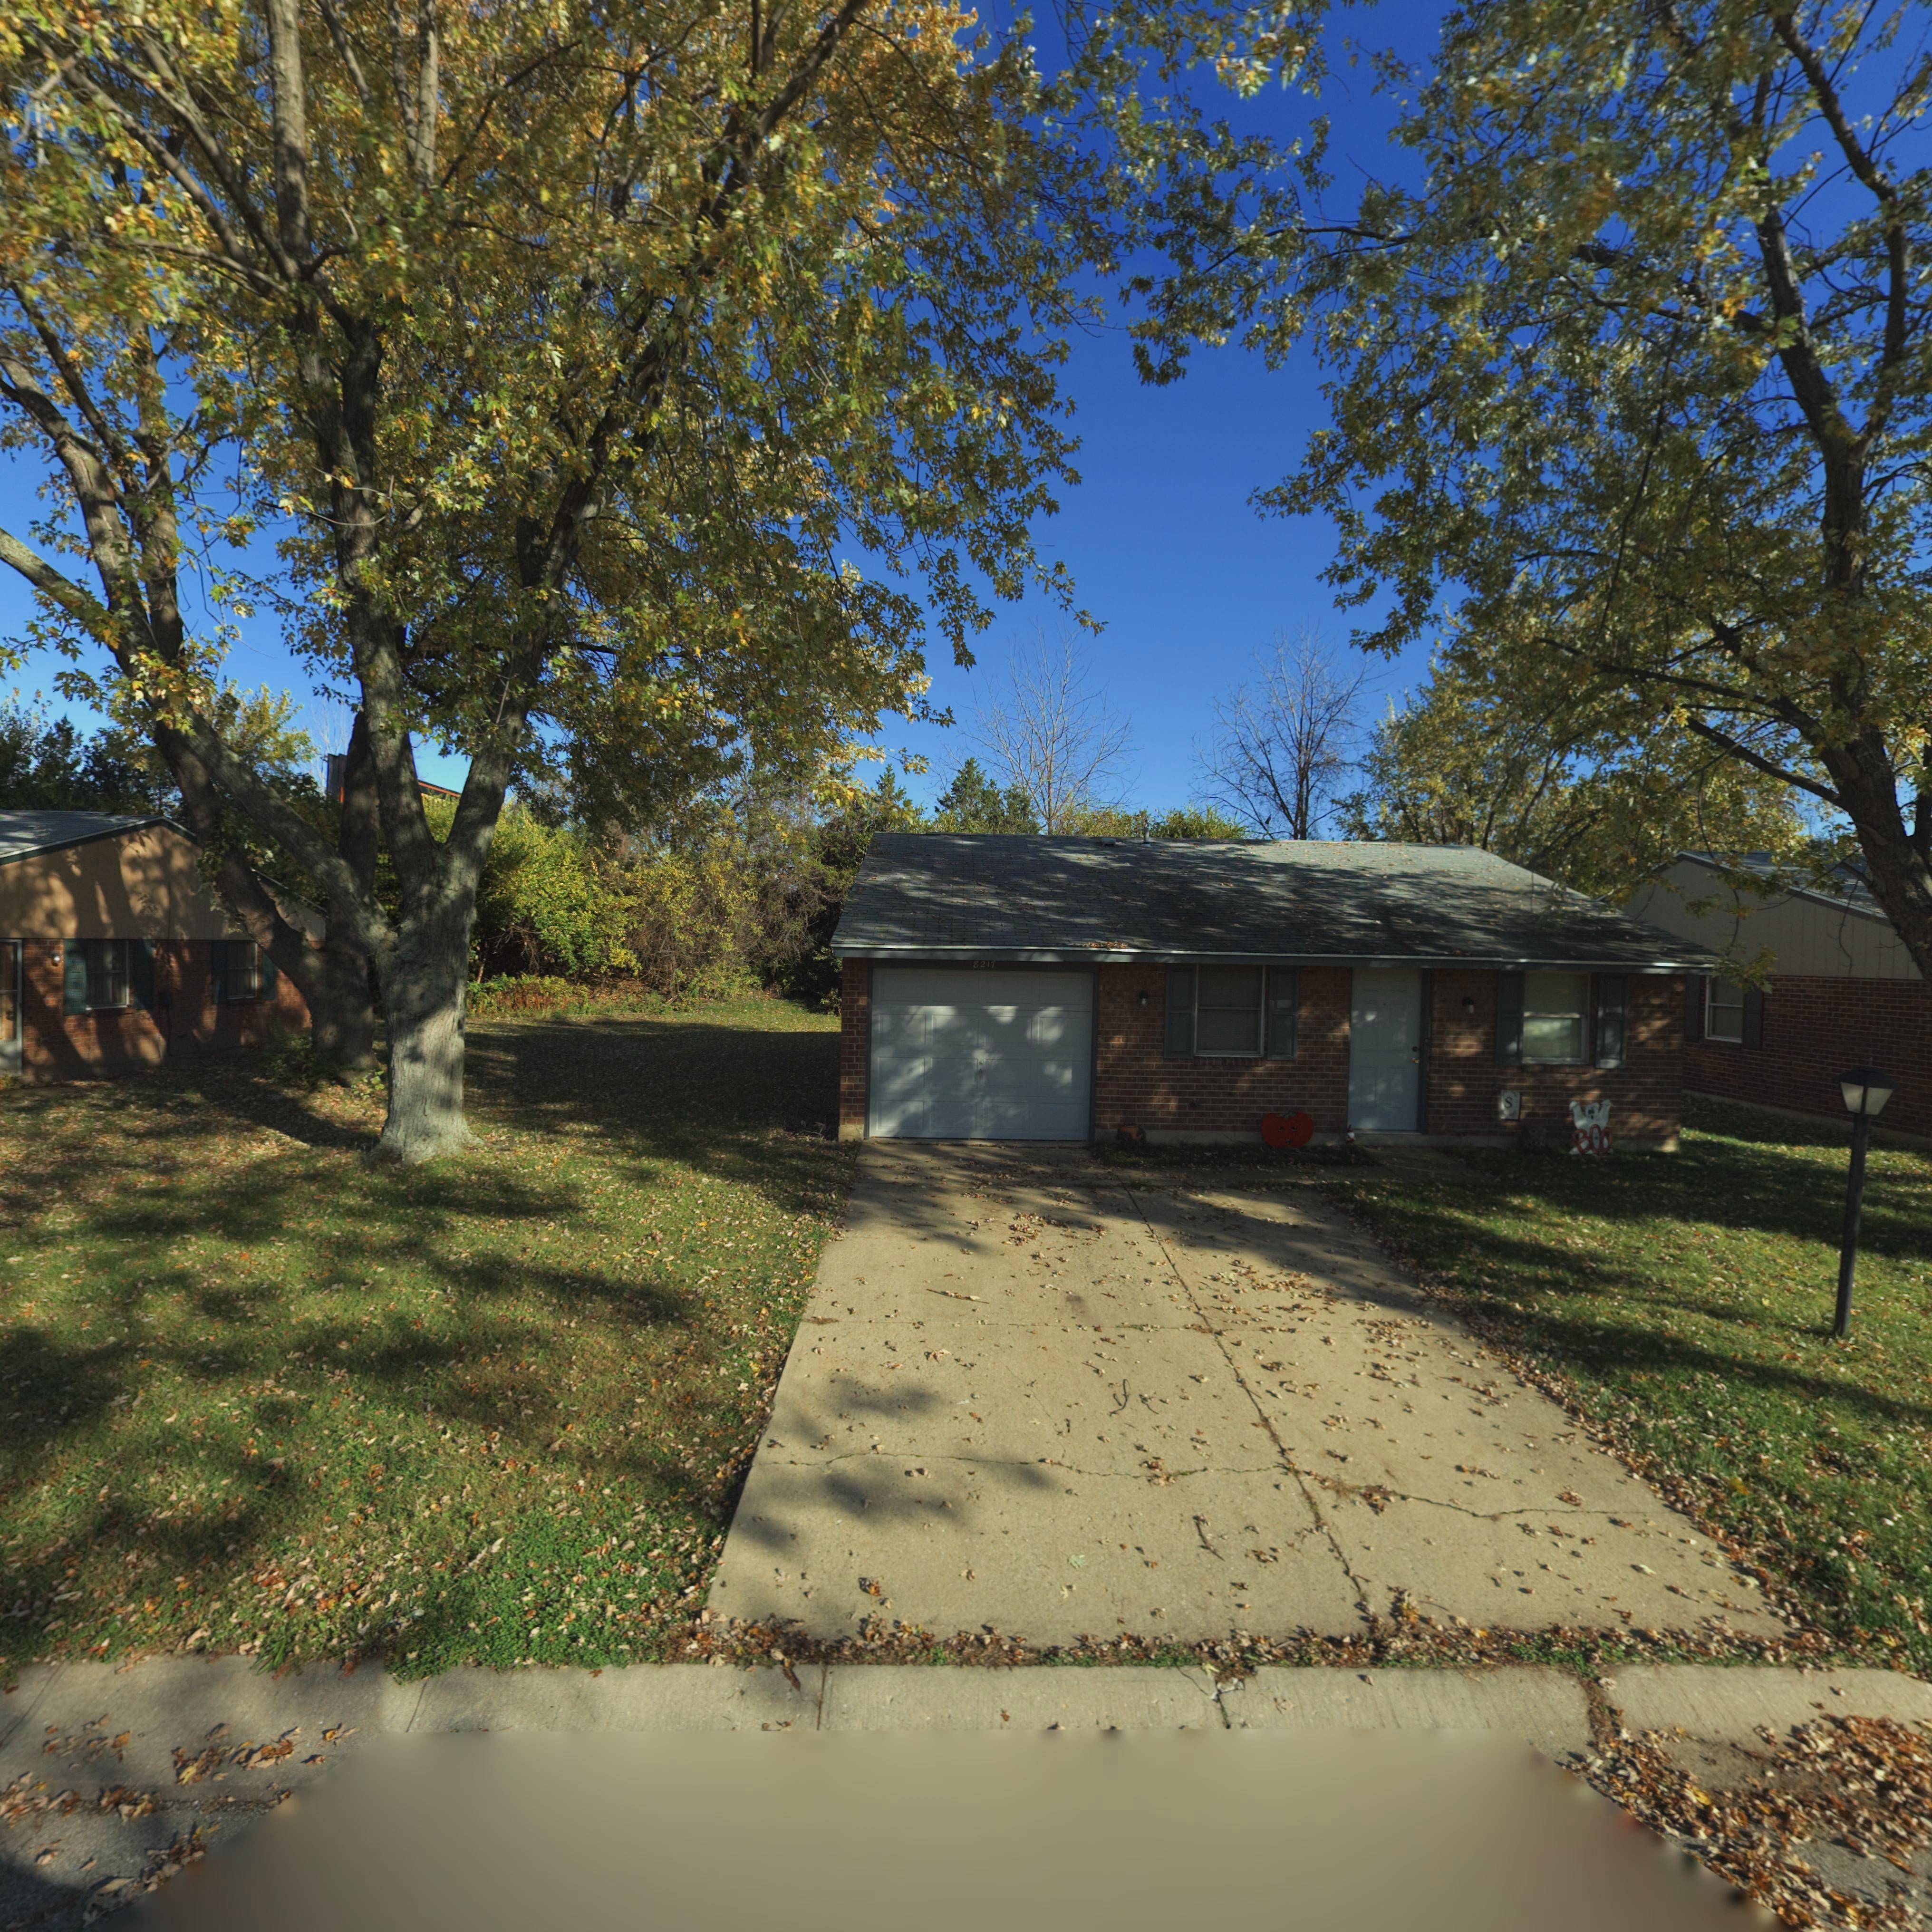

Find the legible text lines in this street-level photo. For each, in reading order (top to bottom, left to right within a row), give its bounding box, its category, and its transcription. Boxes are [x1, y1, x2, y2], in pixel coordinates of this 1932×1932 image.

[972, 960, 996, 968] StreetNumber: 8217